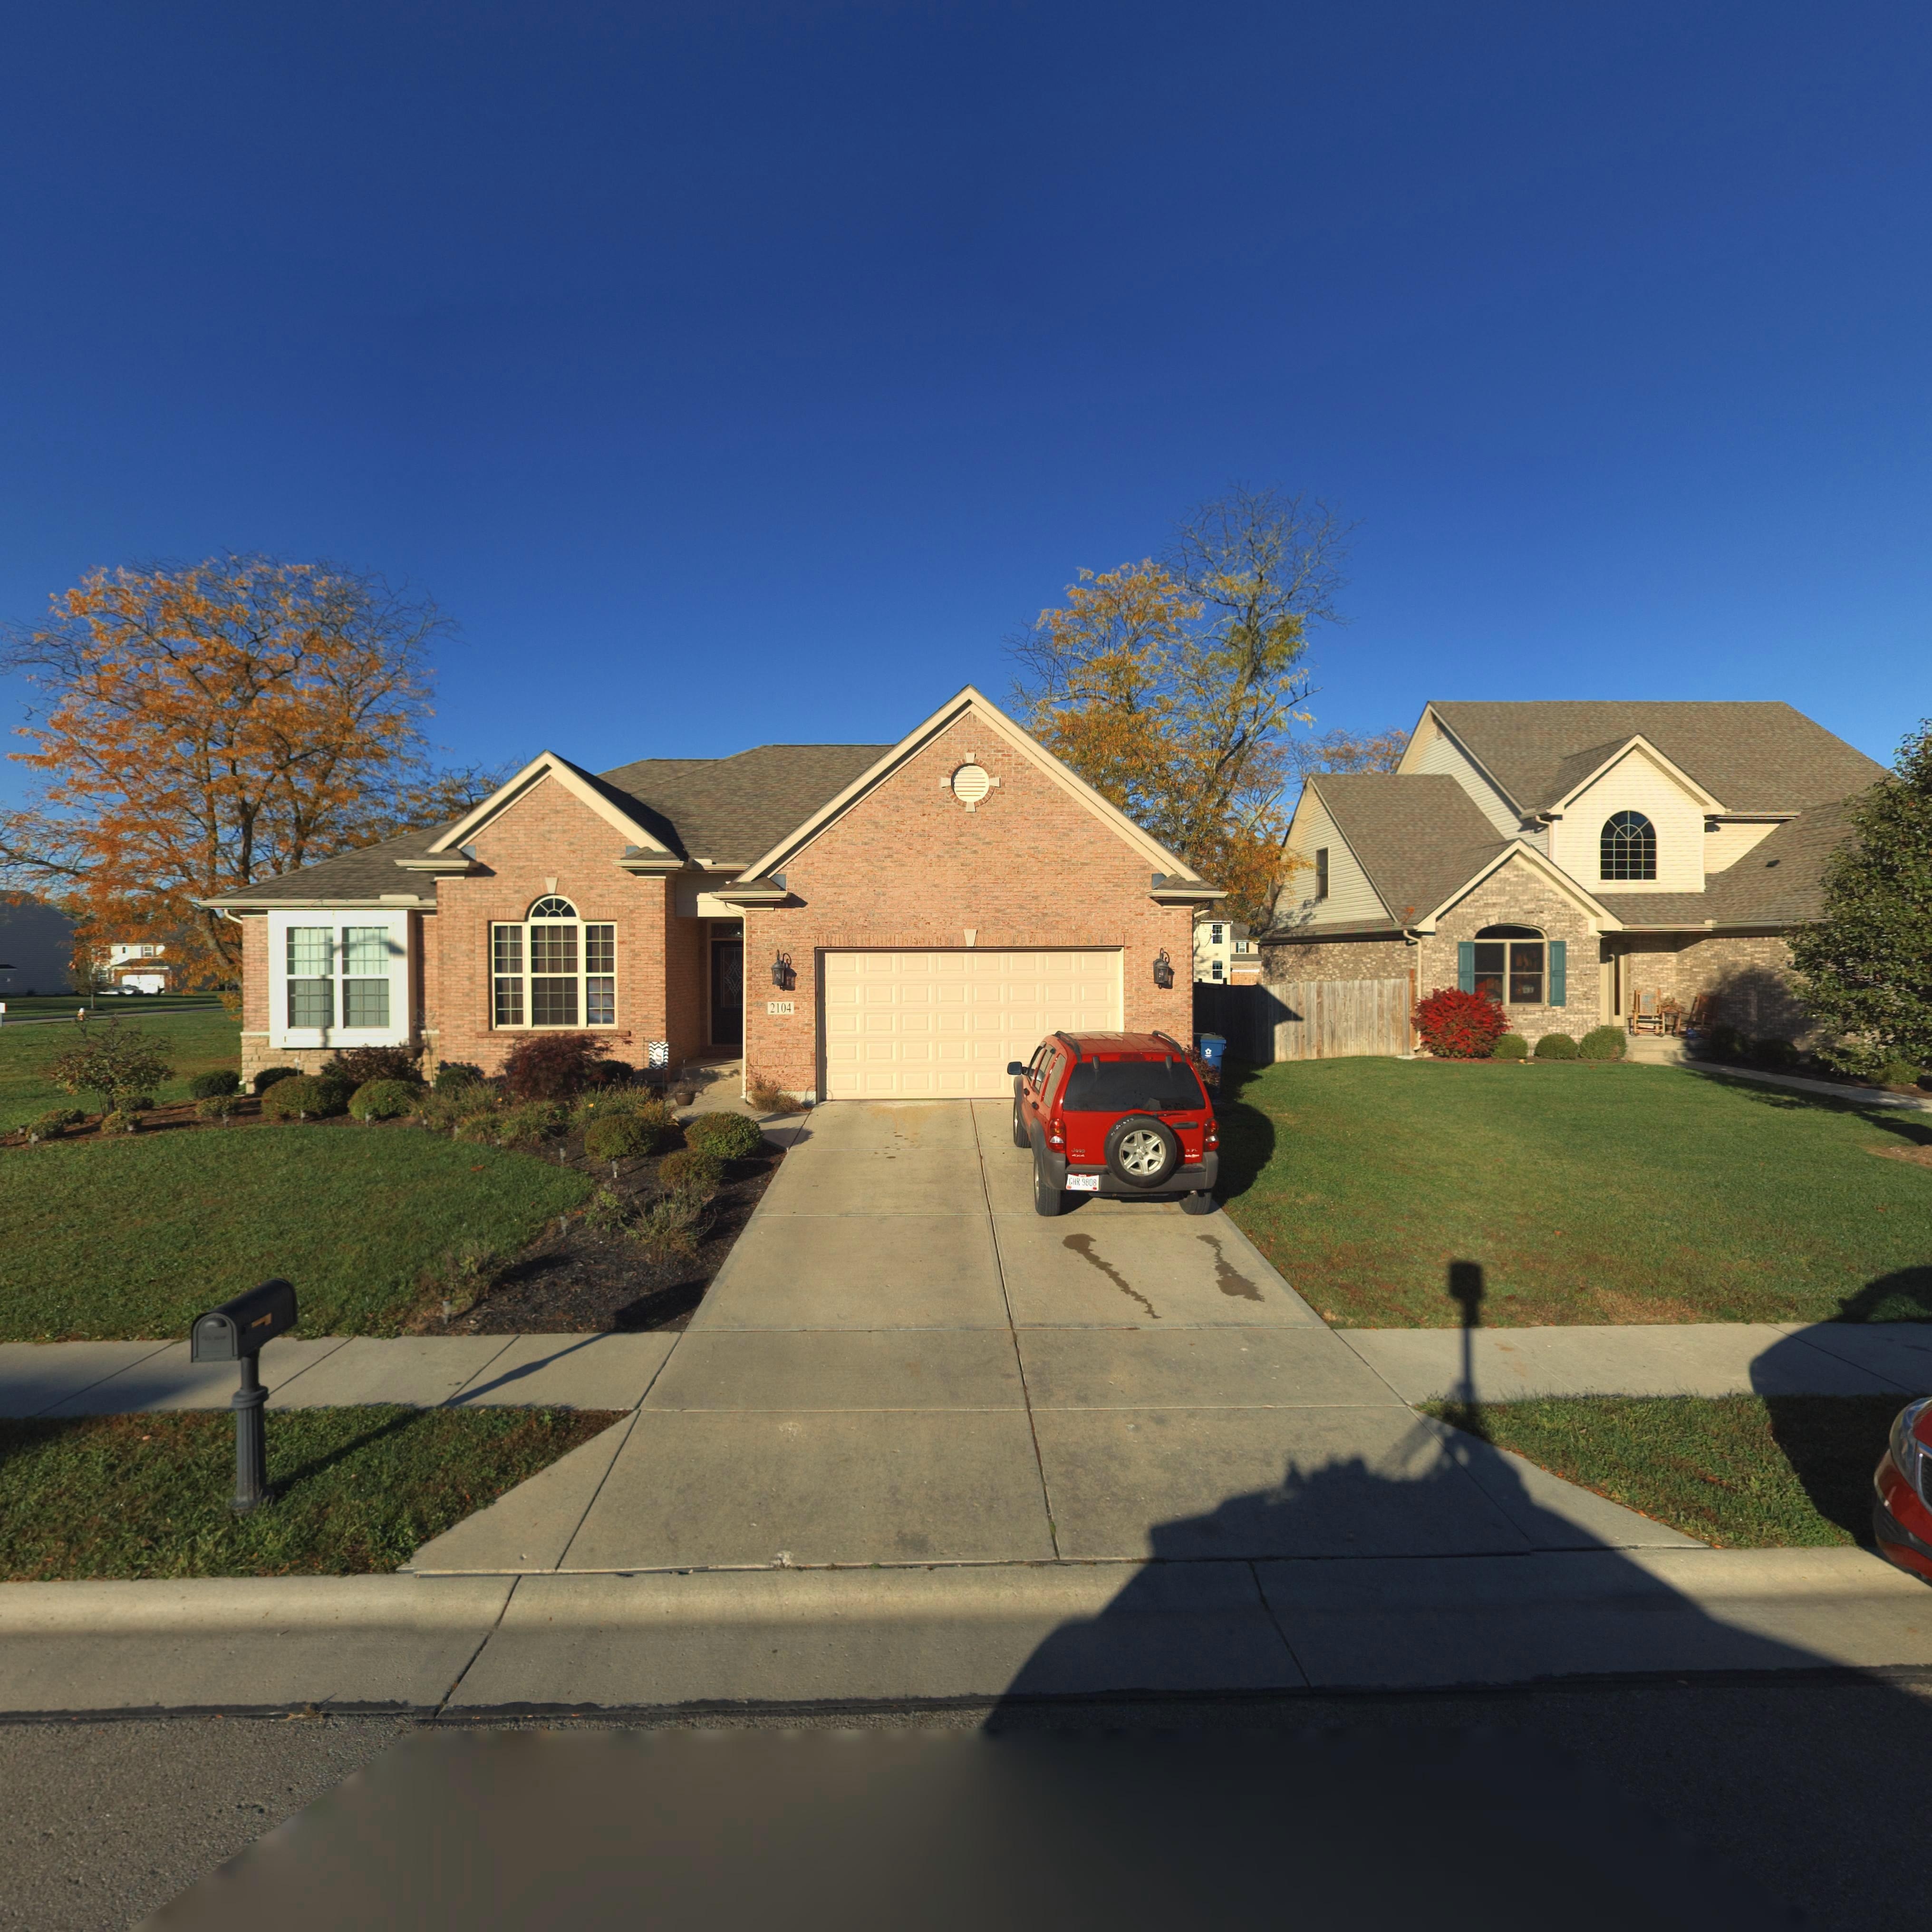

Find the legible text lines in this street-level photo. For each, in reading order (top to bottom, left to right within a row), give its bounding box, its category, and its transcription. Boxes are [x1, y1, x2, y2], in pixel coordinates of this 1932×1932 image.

[770, 1003, 791, 1013] StreetNumber: 2104